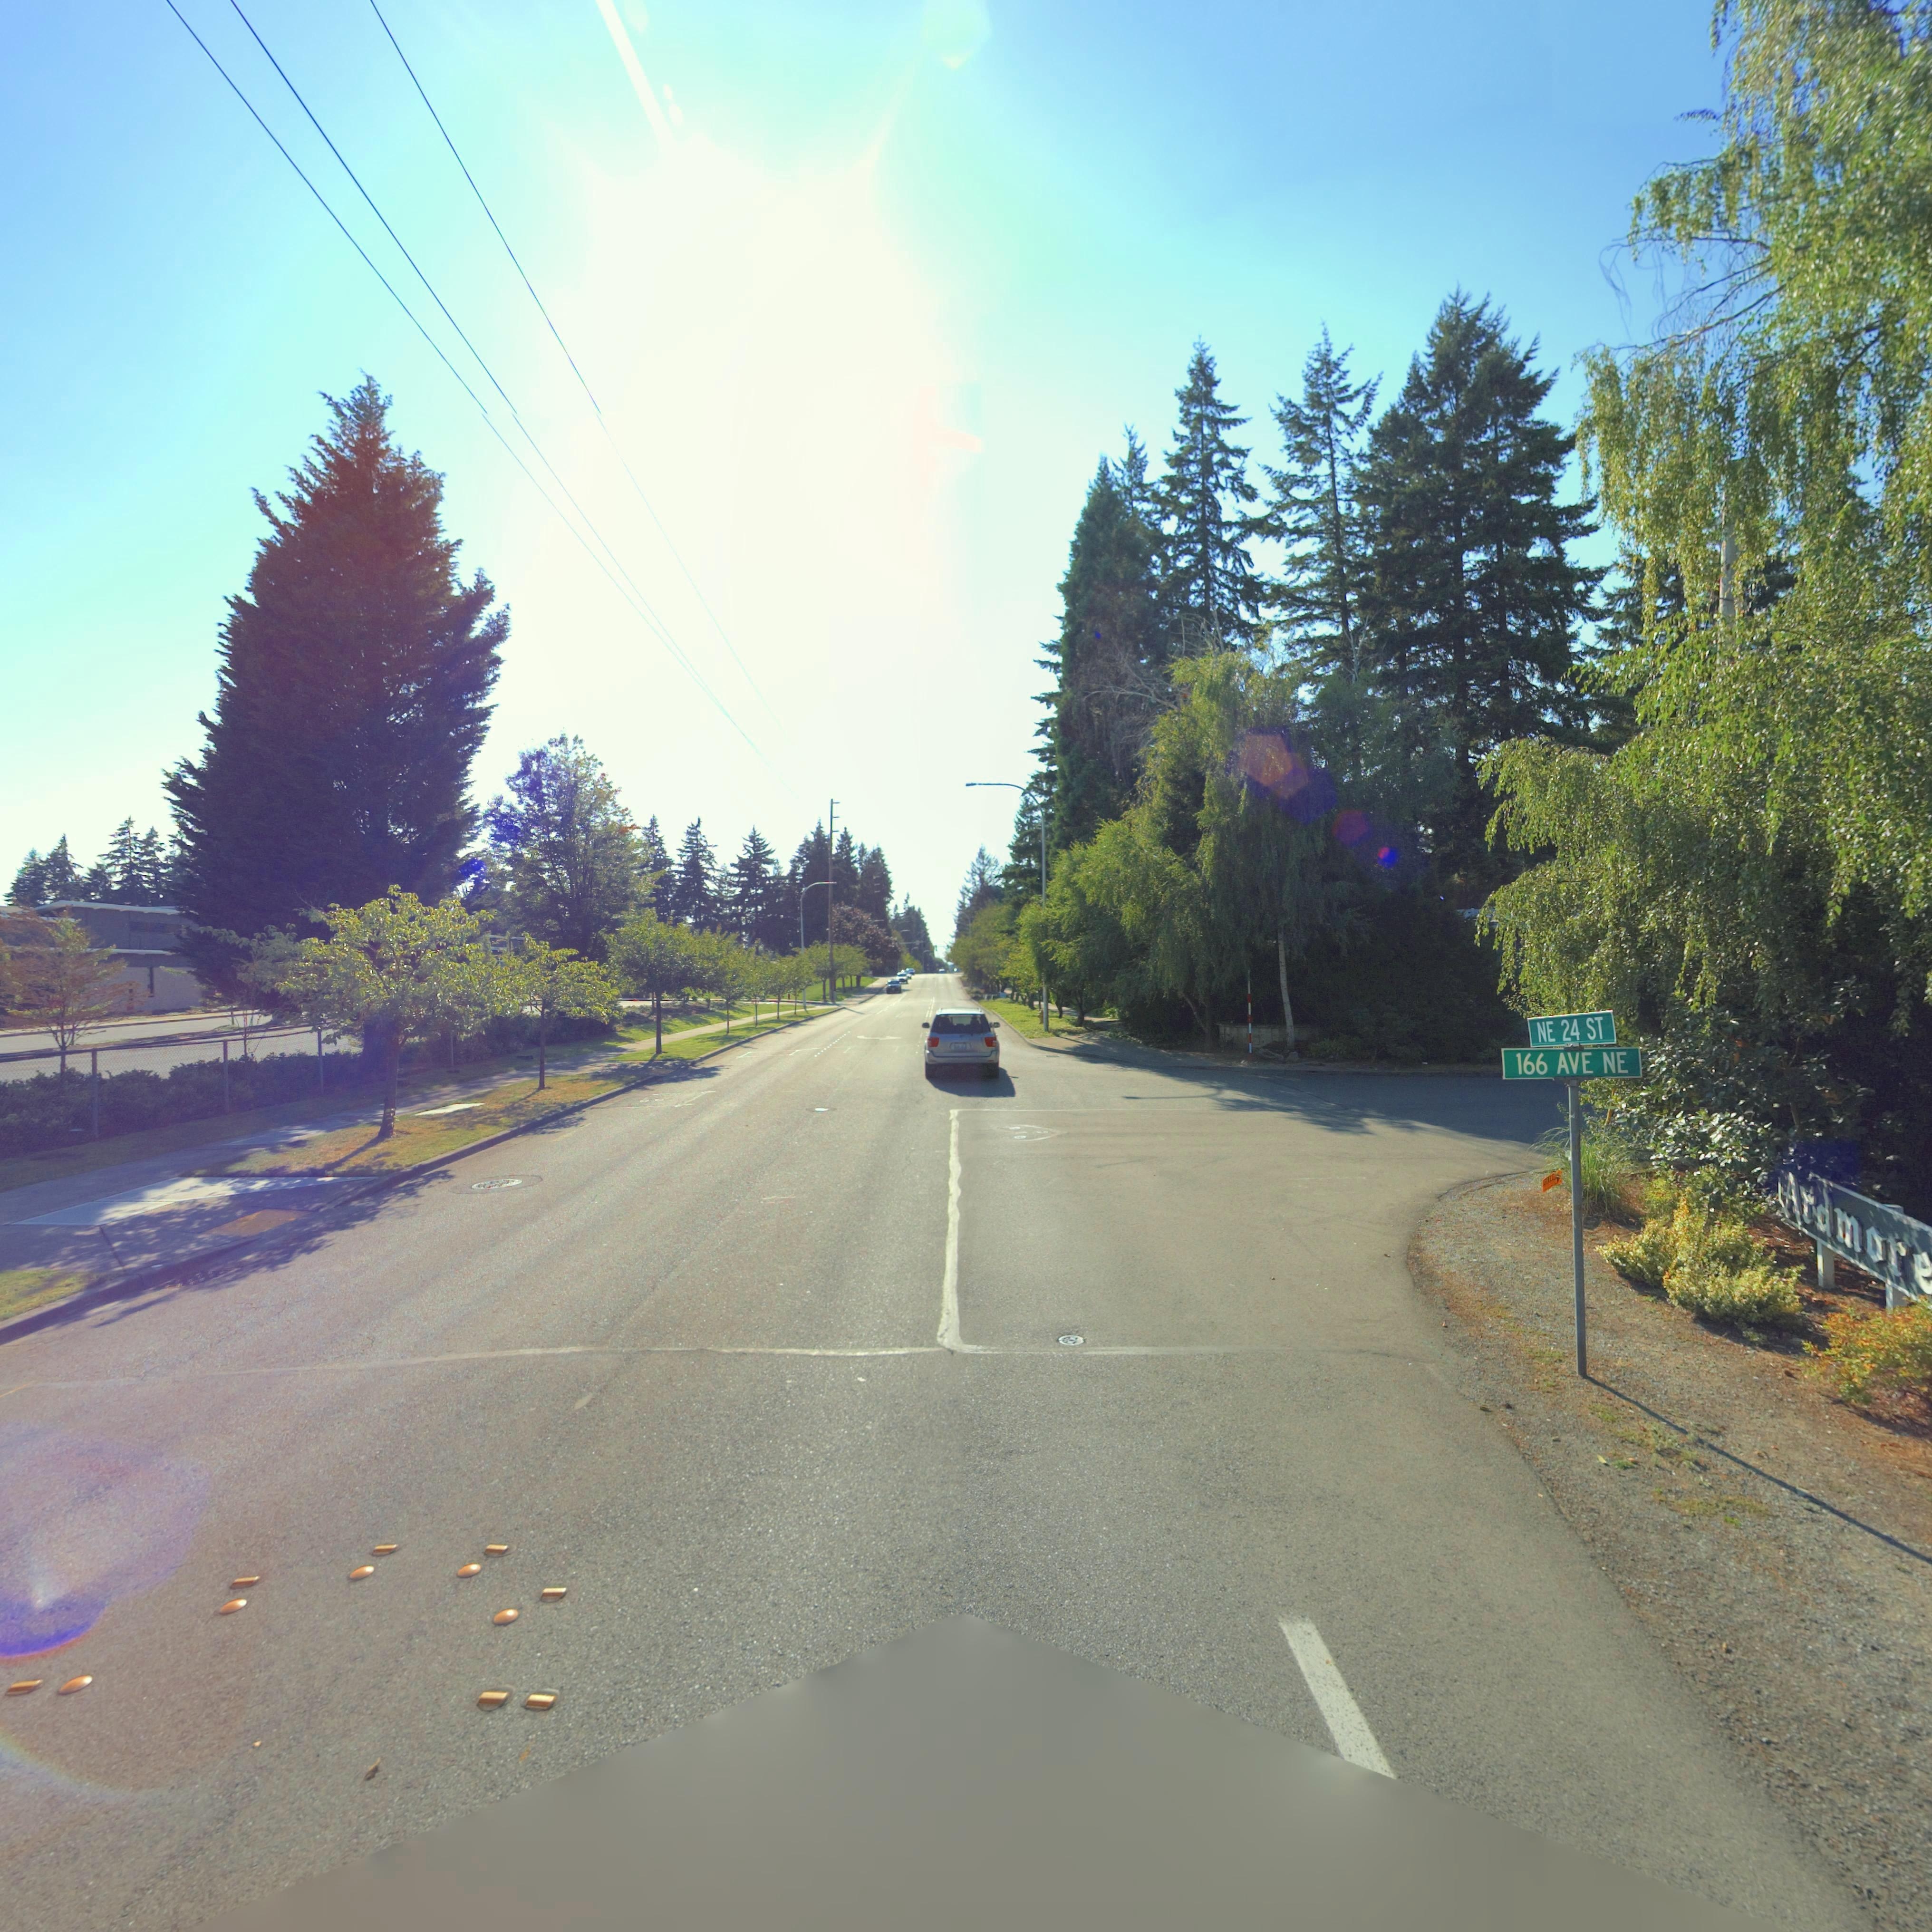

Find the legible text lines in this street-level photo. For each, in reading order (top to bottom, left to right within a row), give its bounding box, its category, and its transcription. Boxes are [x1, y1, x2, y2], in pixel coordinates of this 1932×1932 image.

[1534, 1015, 1607, 1043] StreetName: NE 24 ST
[1514, 1050, 1630, 1076] StreetName: 166 AVE NE
[1781, 1168, 1932, 1301] BusinessName: Ardmore